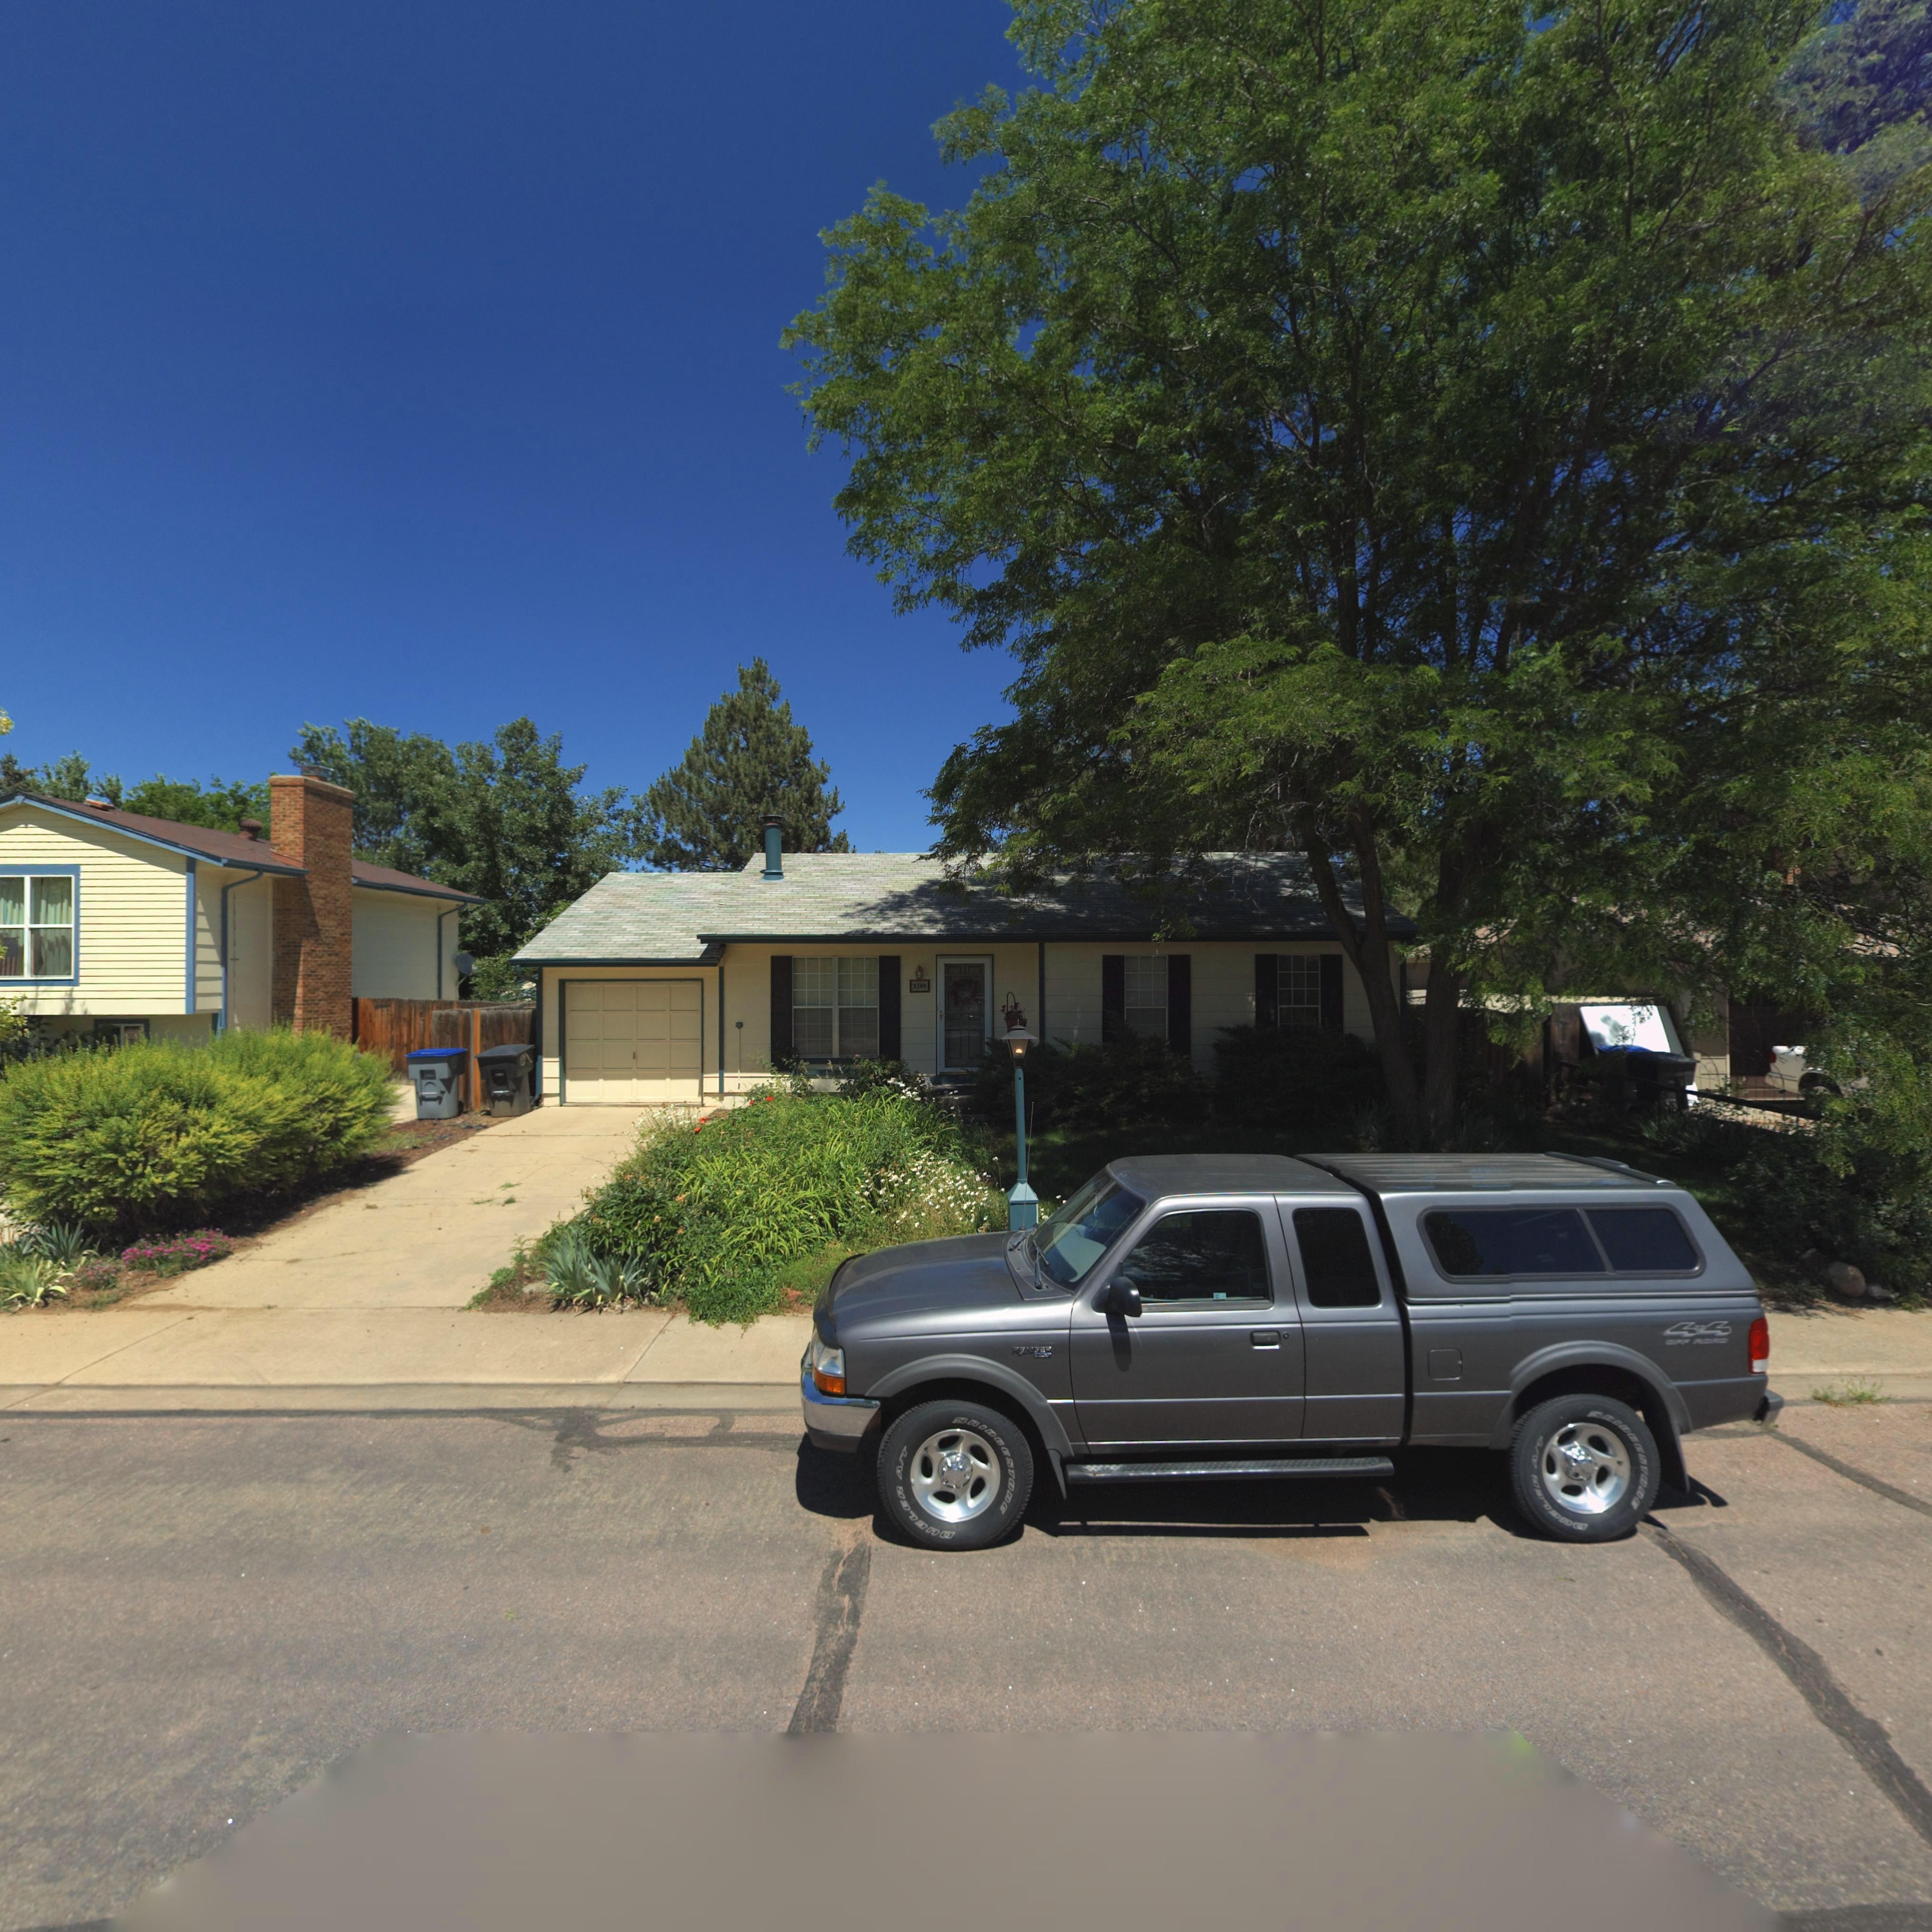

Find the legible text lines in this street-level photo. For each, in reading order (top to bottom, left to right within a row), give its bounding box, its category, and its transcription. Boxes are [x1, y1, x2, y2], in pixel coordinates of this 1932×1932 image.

[913, 984, 927, 988] StreetNumber: 2140